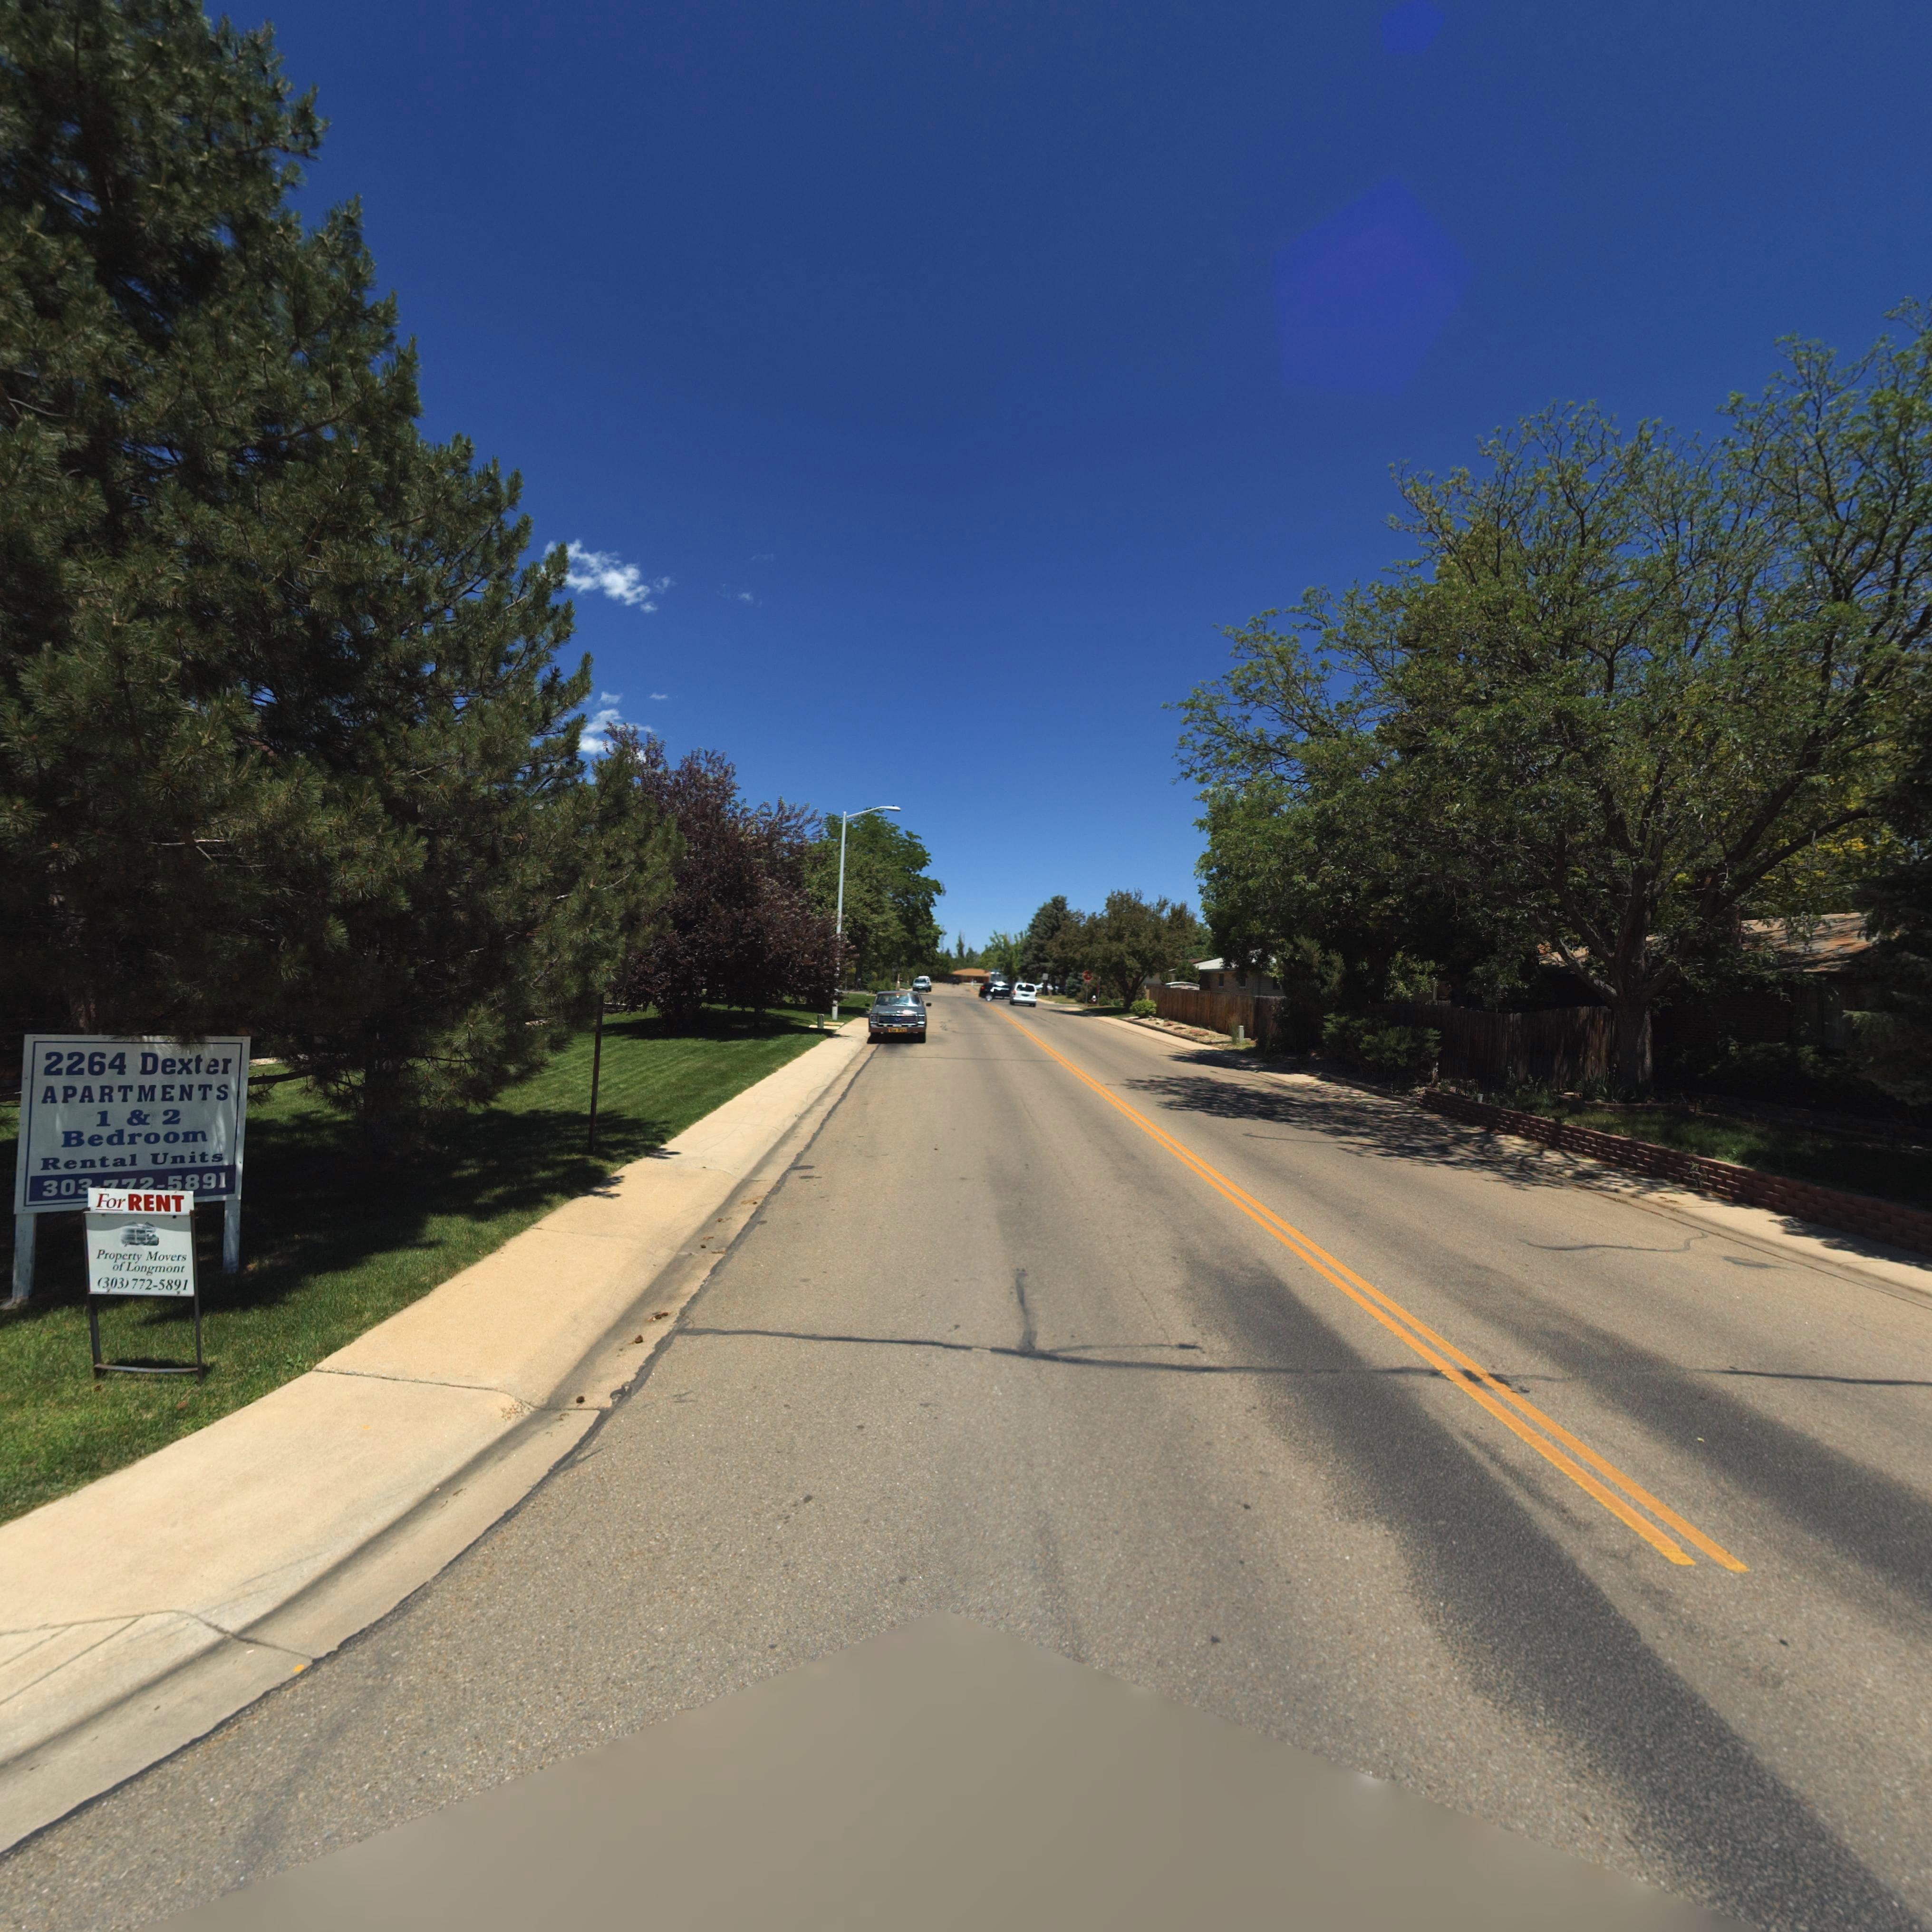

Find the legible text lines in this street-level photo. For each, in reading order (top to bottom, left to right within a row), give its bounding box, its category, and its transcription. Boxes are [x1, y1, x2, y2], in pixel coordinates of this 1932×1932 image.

[43, 1050, 127, 1076] StreetNumber: 2264
[139, 1051, 233, 1075] StreetName: Dexter